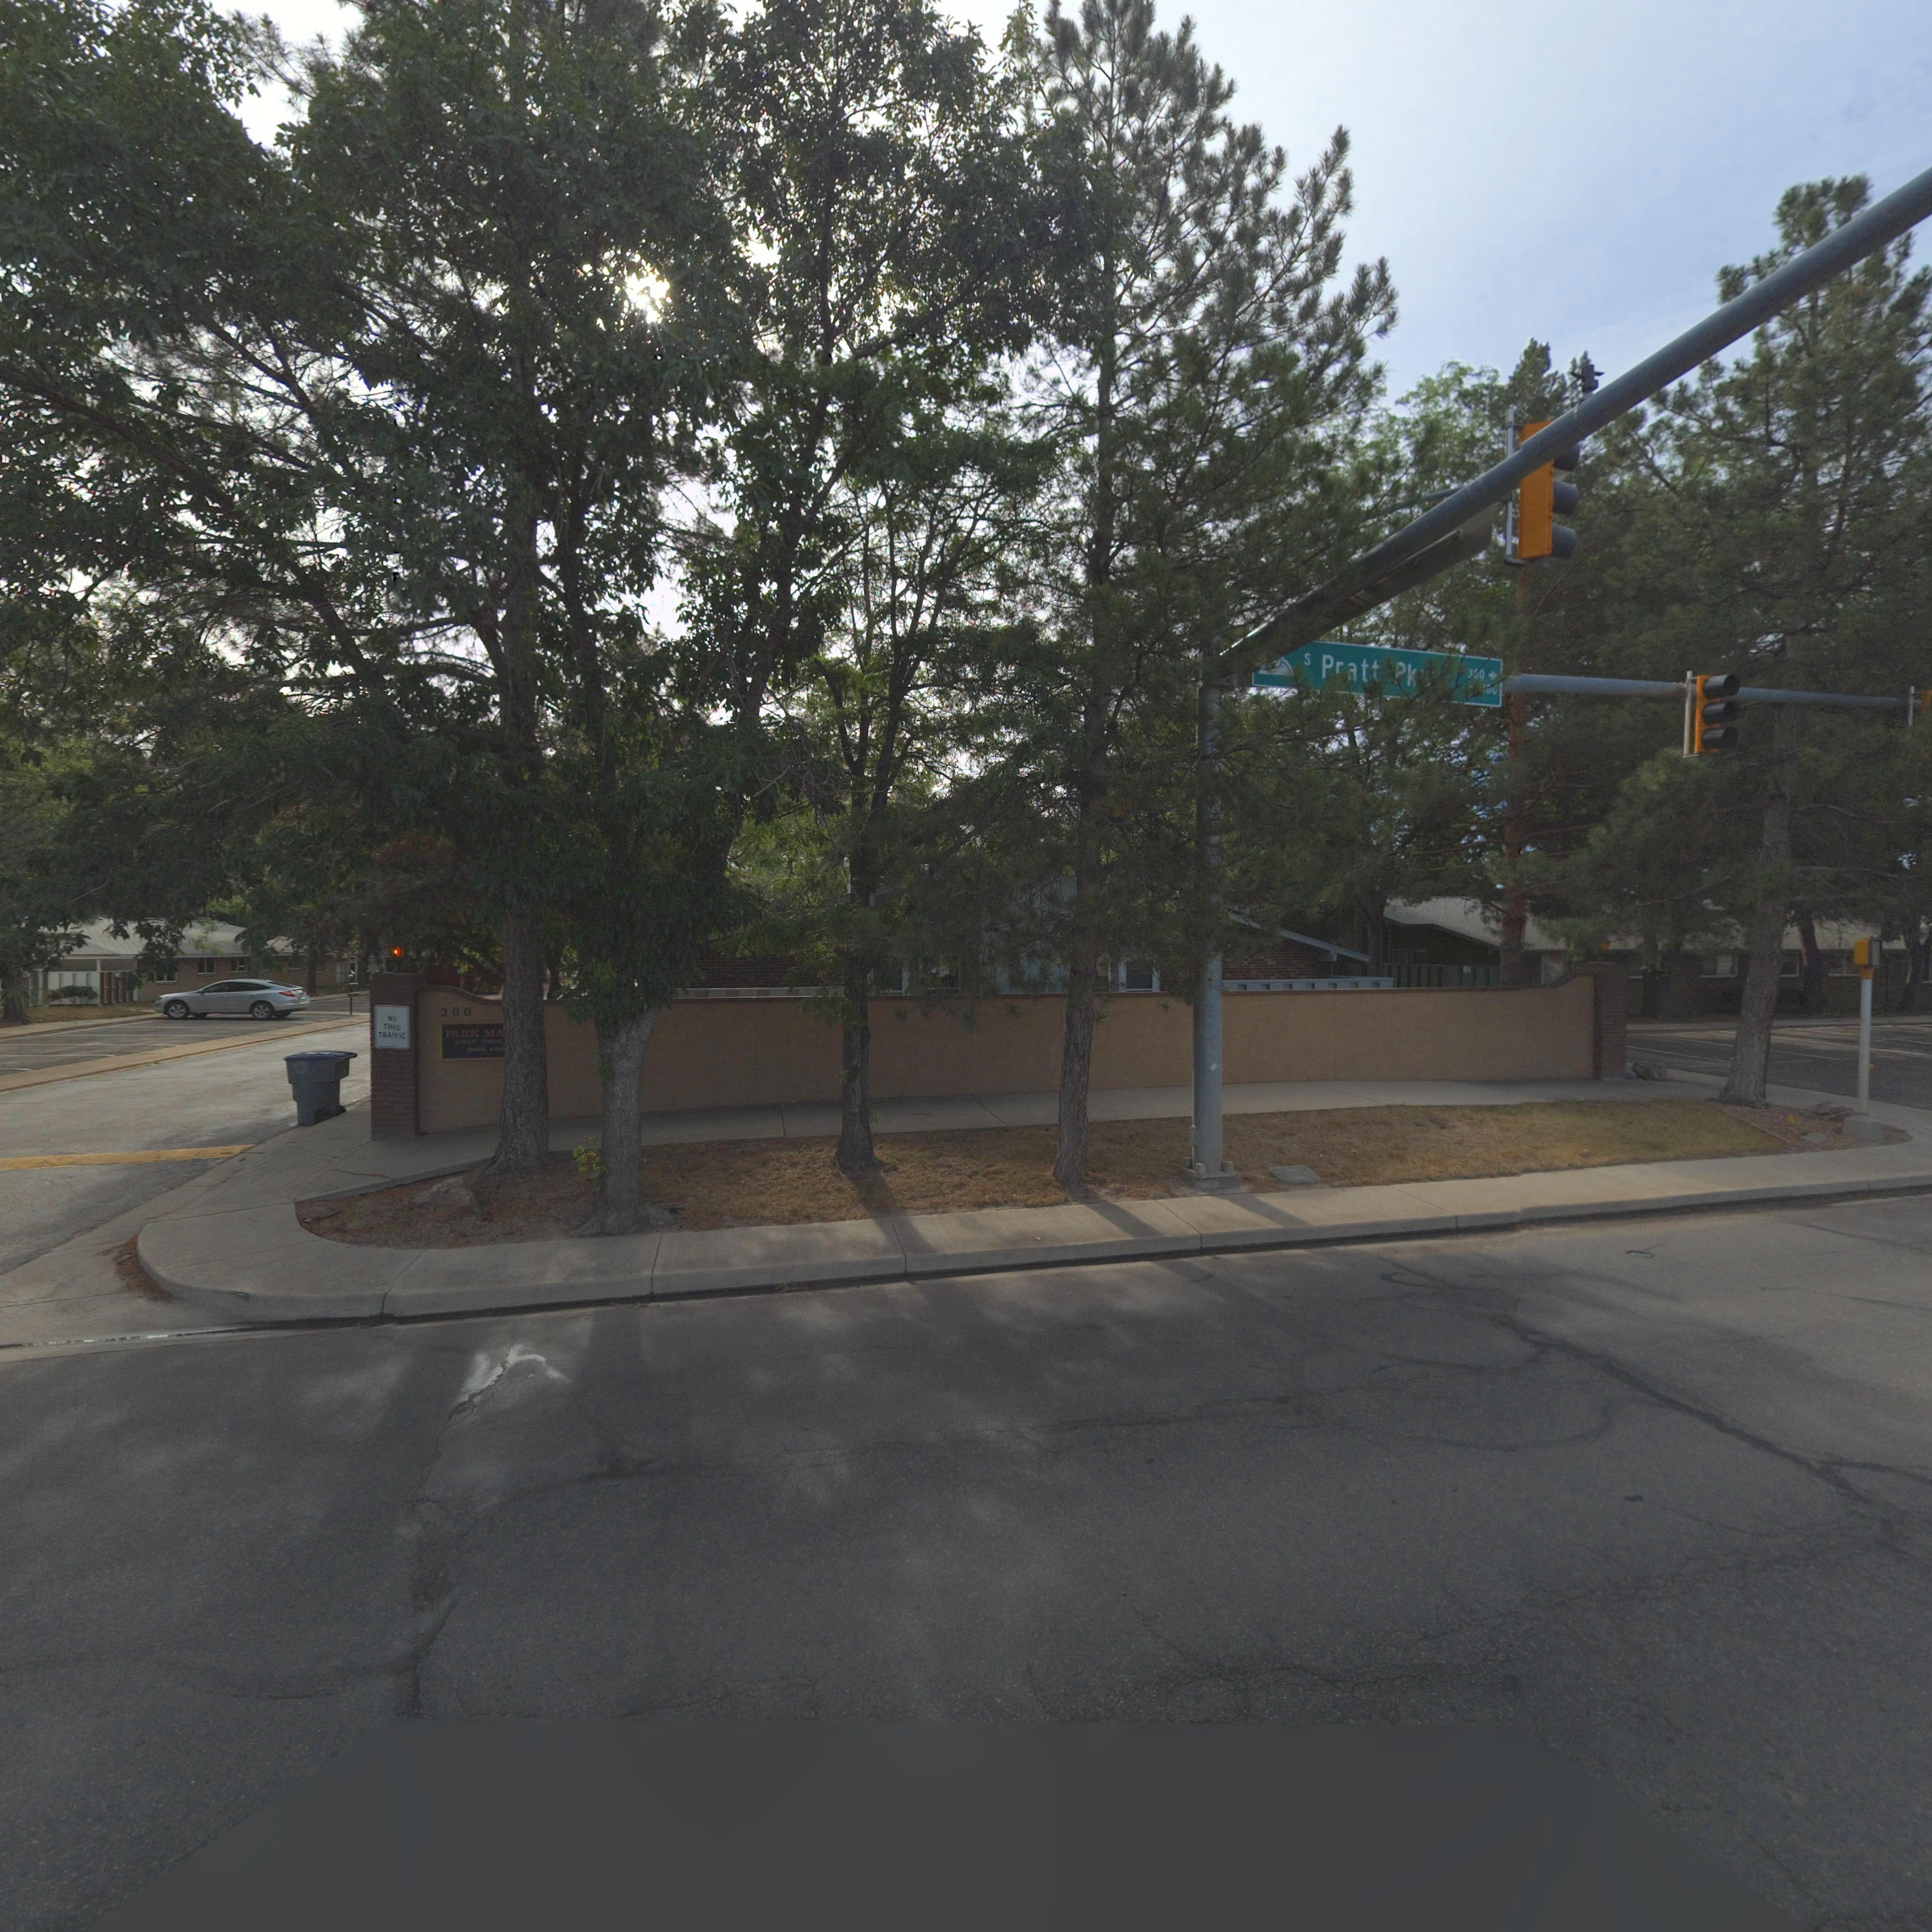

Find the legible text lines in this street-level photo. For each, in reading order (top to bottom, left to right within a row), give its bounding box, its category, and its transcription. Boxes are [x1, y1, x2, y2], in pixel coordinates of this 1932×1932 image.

[1304, 651, 1438, 690] StreetName: S Pratt Pk**
[1467, 667, 1485, 681] StreetNumberRange: 3*0
[440, 1007, 472, 1017] StreetNumber: 200